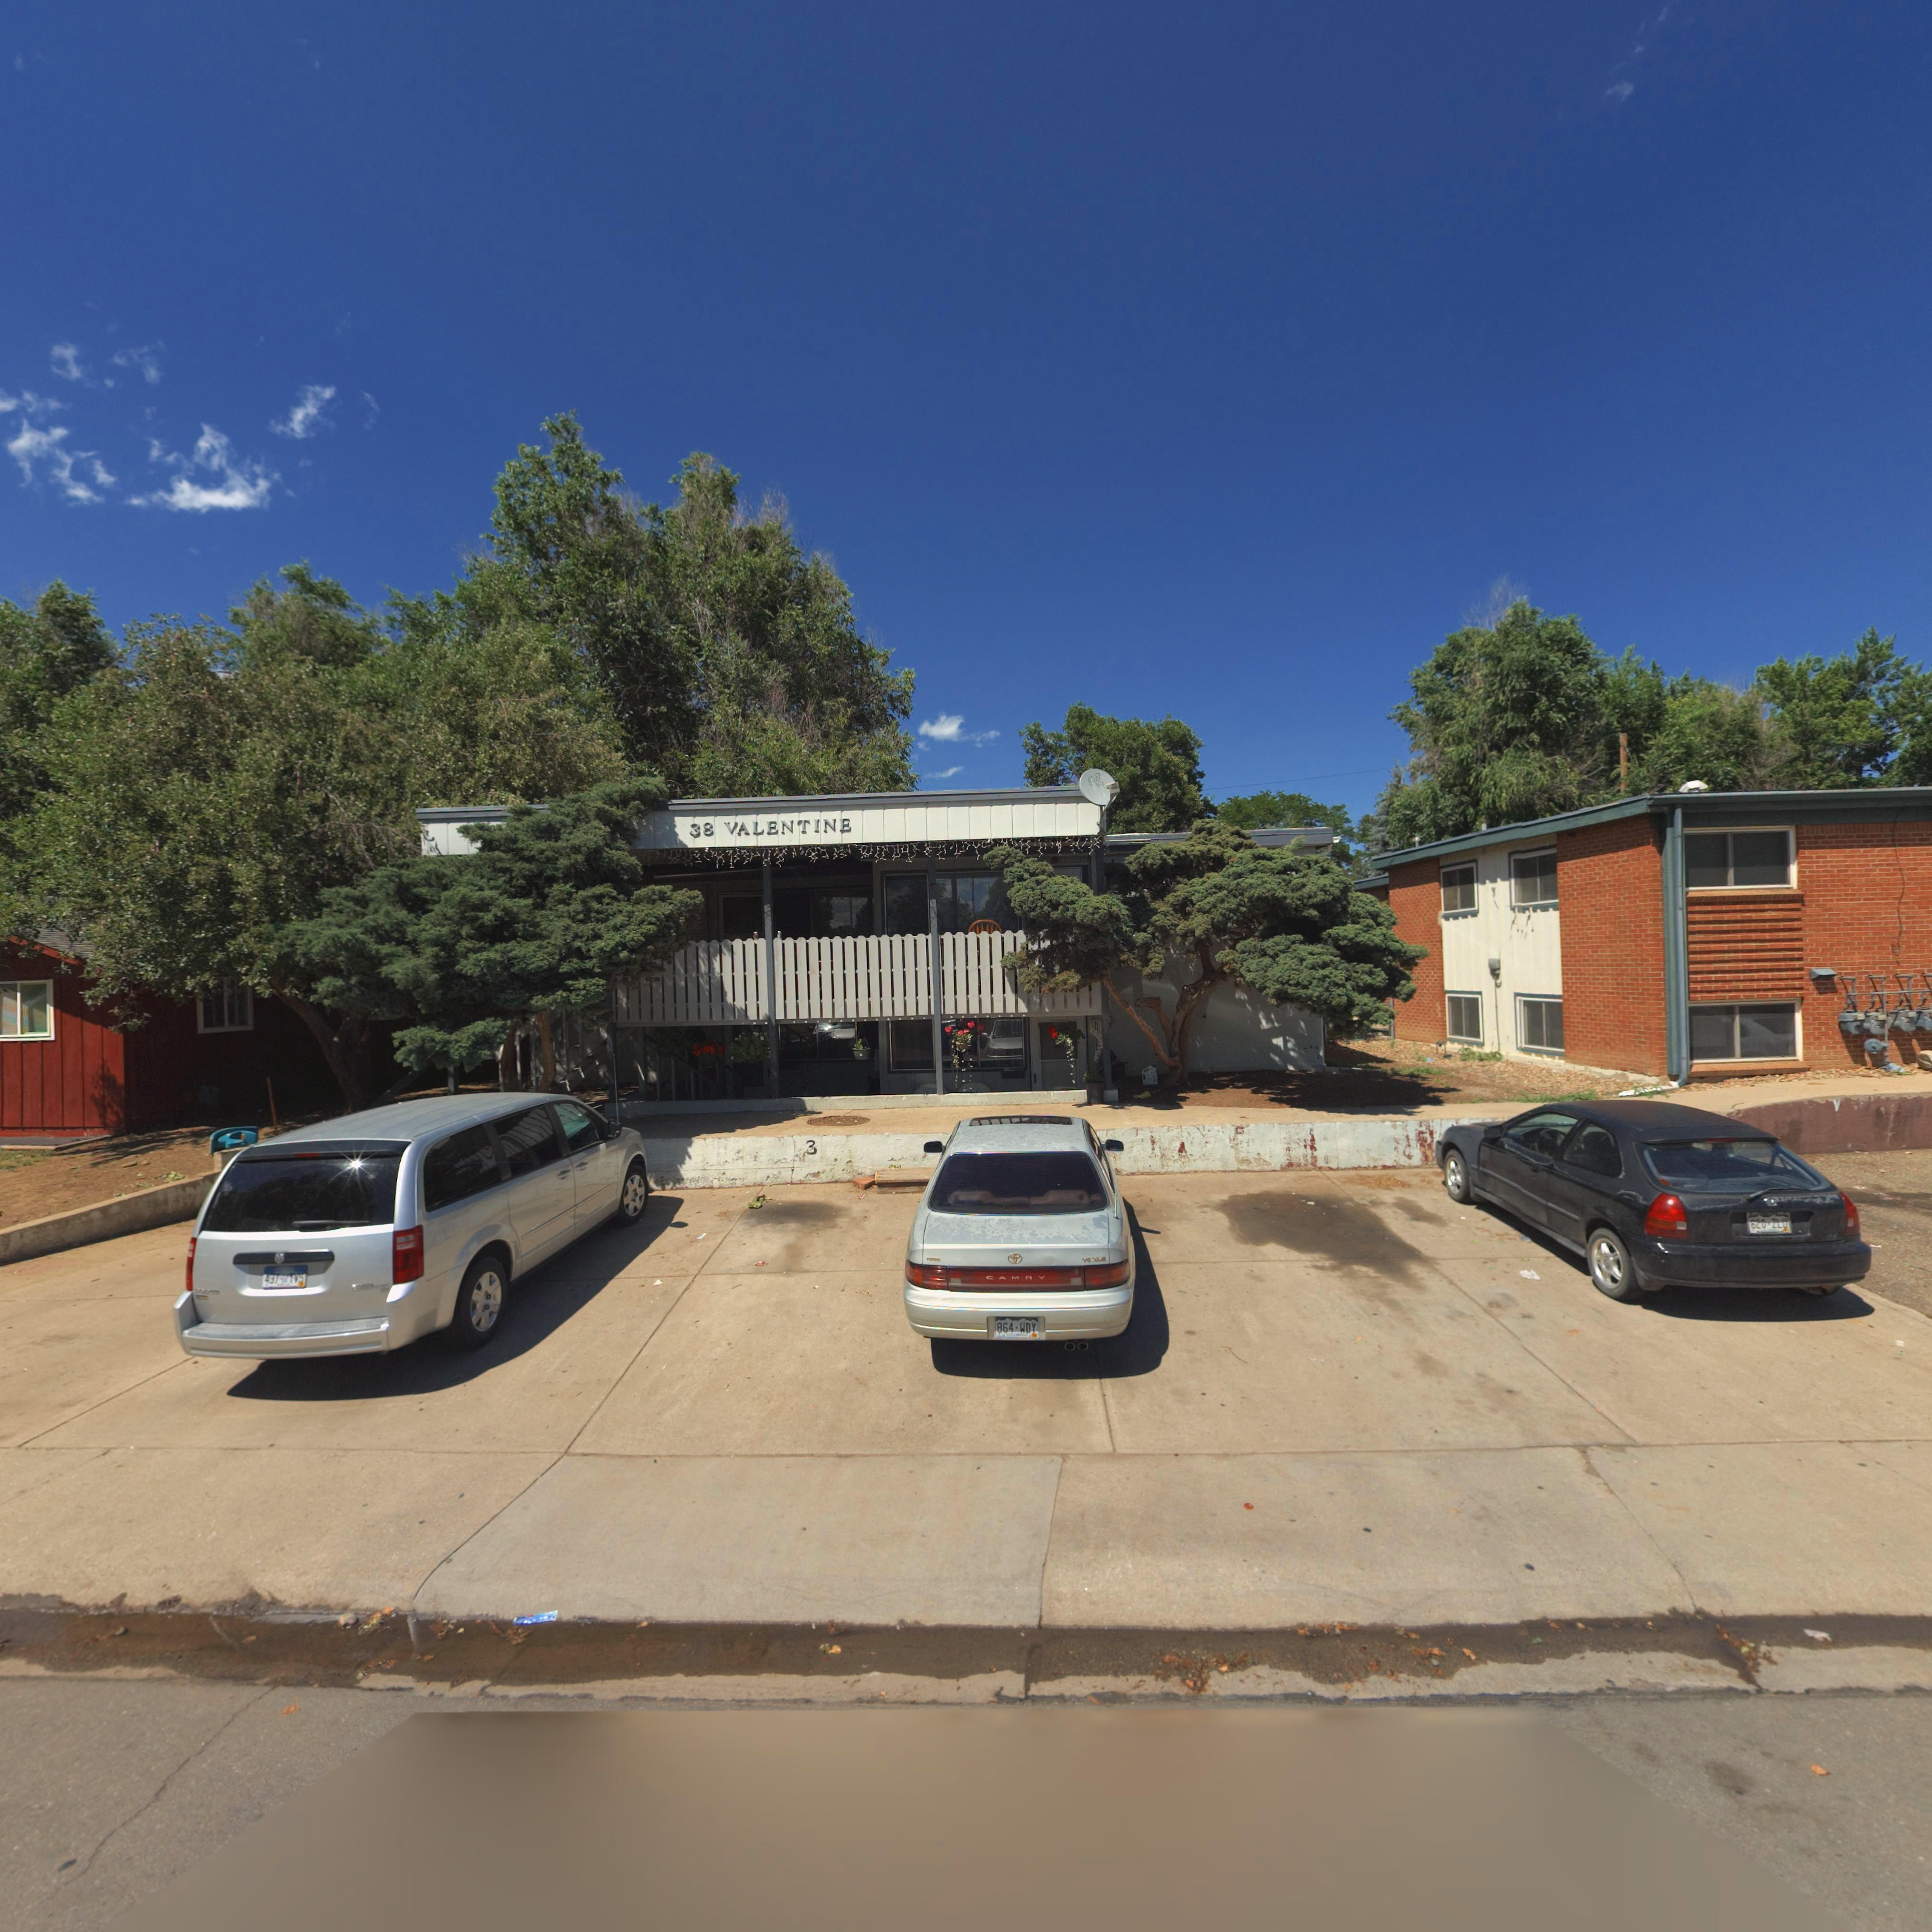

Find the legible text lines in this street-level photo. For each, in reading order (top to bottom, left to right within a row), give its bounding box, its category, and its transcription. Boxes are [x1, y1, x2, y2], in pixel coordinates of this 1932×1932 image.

[689, 821, 714, 836] StreetNumber: 38
[722, 818, 851, 835] StreetName: VALENTINE